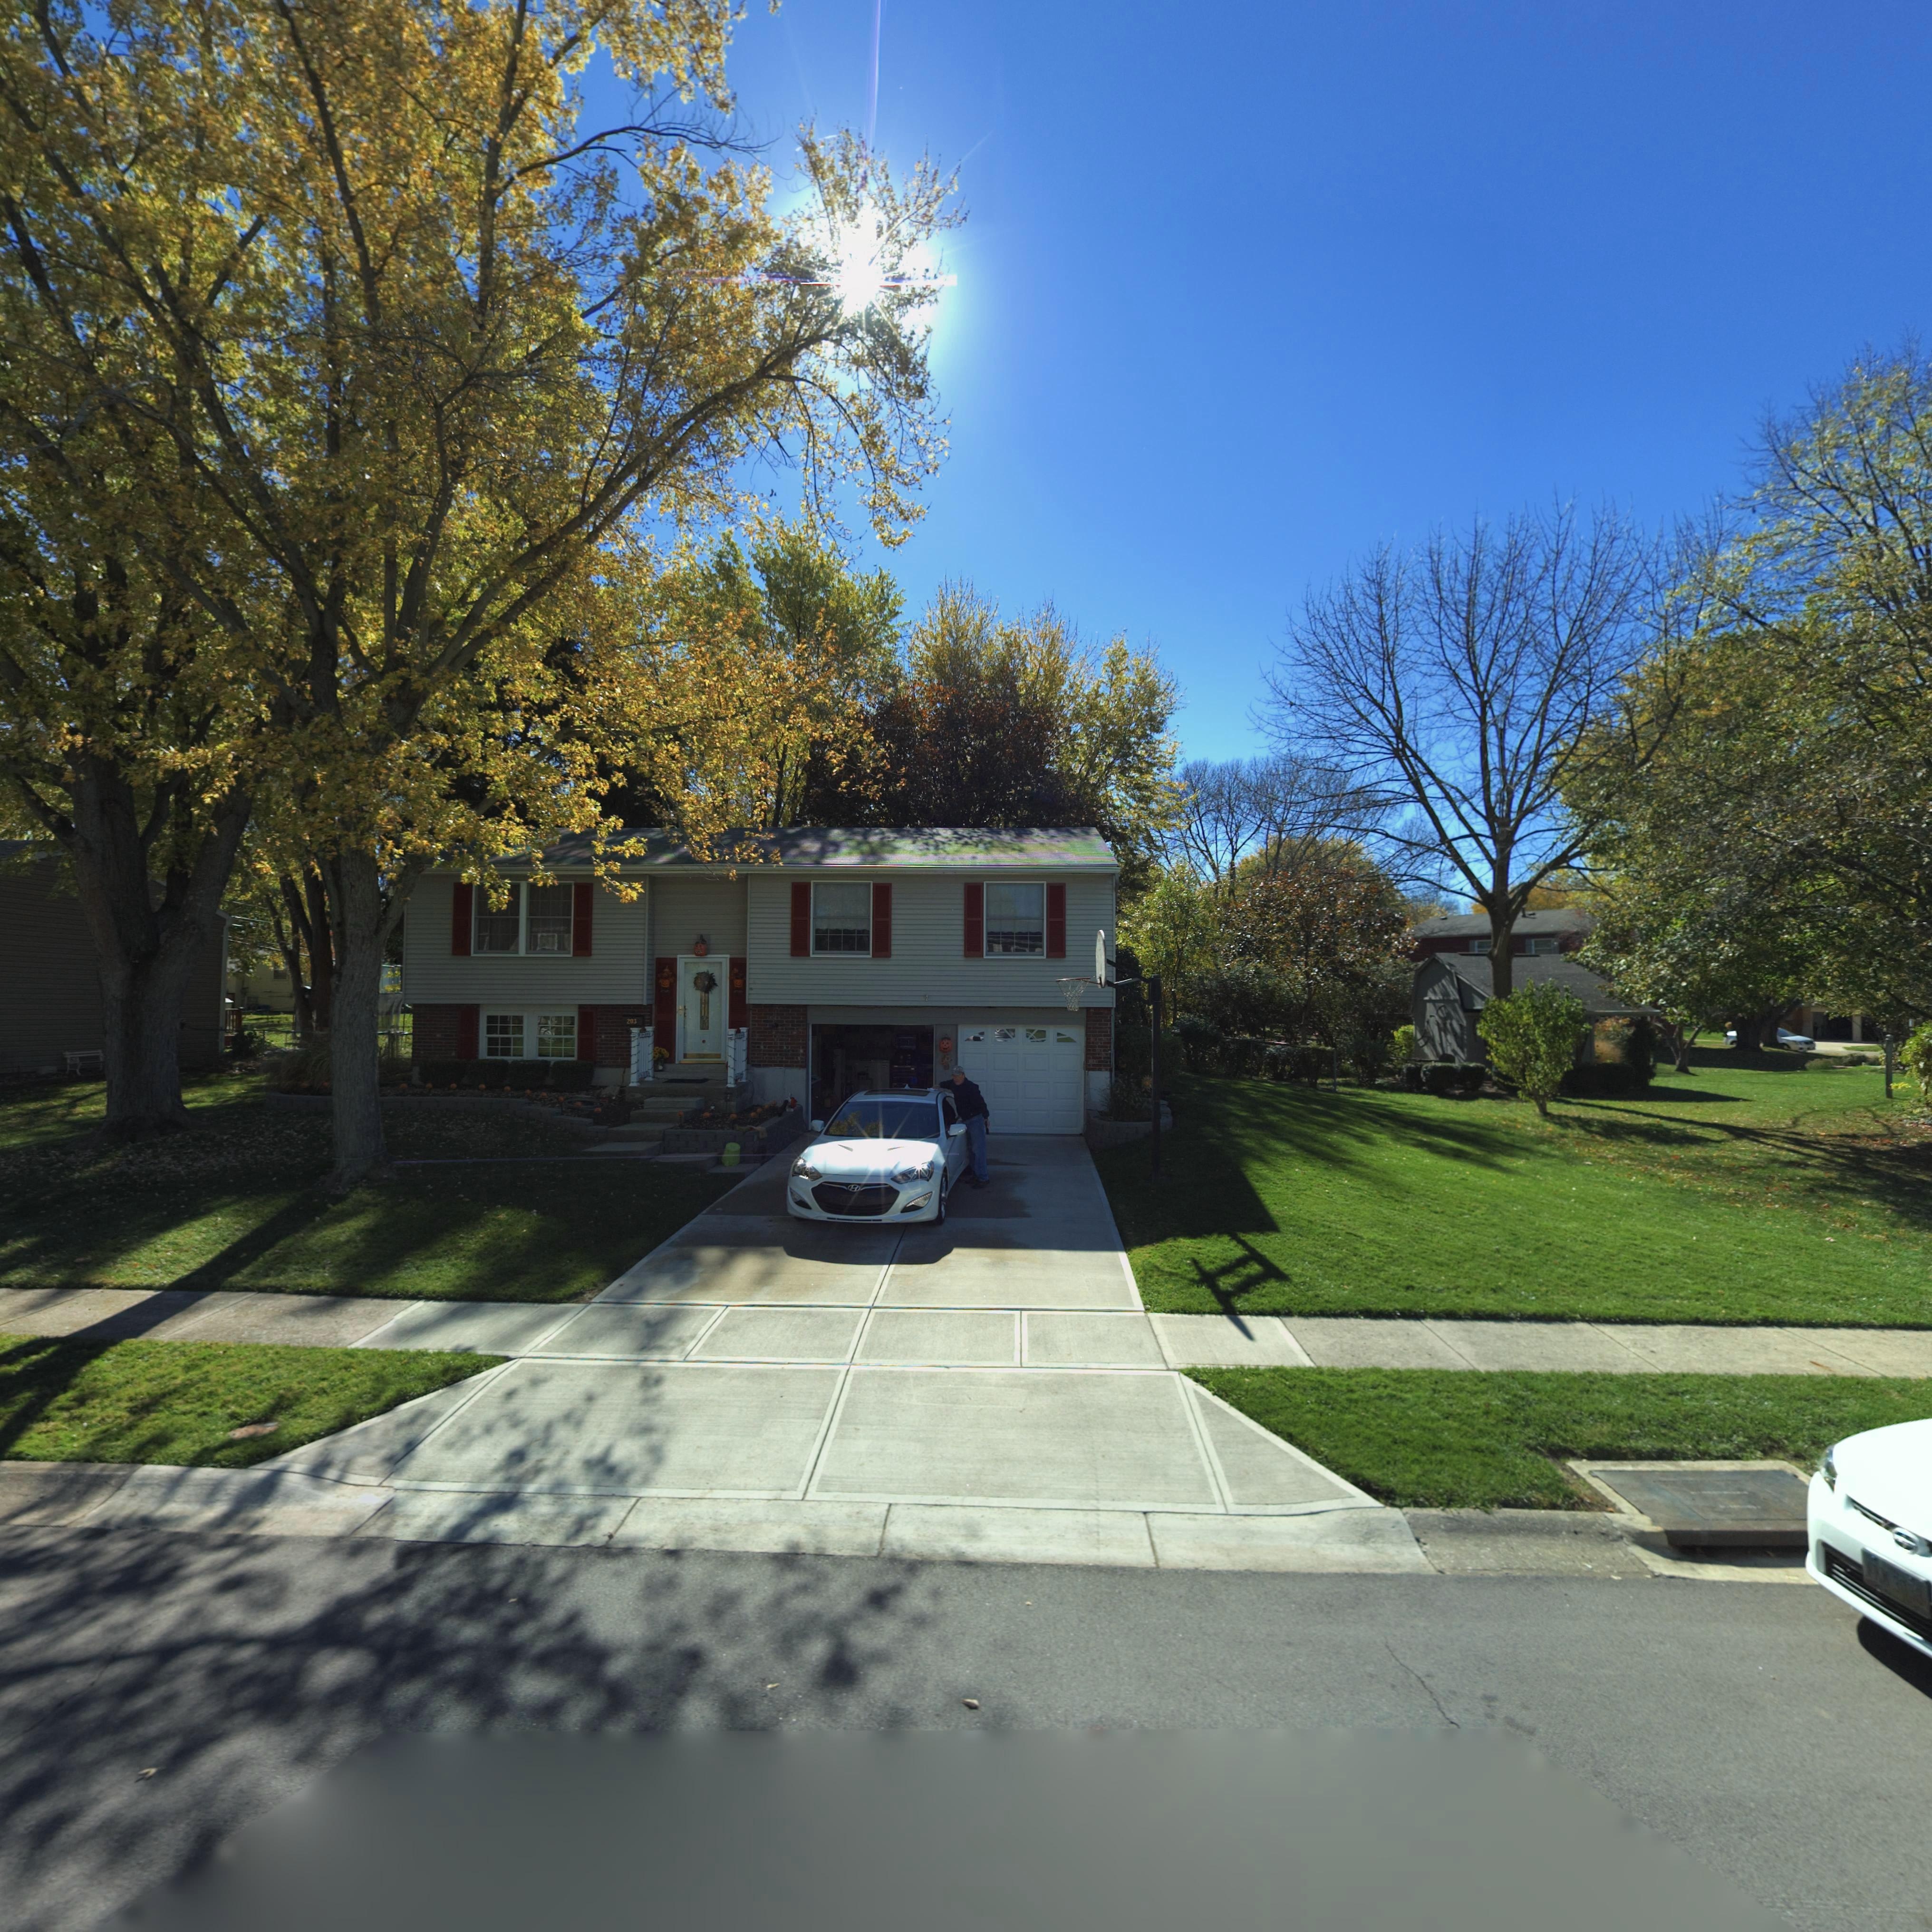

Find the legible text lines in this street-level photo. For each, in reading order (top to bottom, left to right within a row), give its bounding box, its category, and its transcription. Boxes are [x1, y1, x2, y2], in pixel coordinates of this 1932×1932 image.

[626, 1017, 638, 1025] StreetNumber: 203